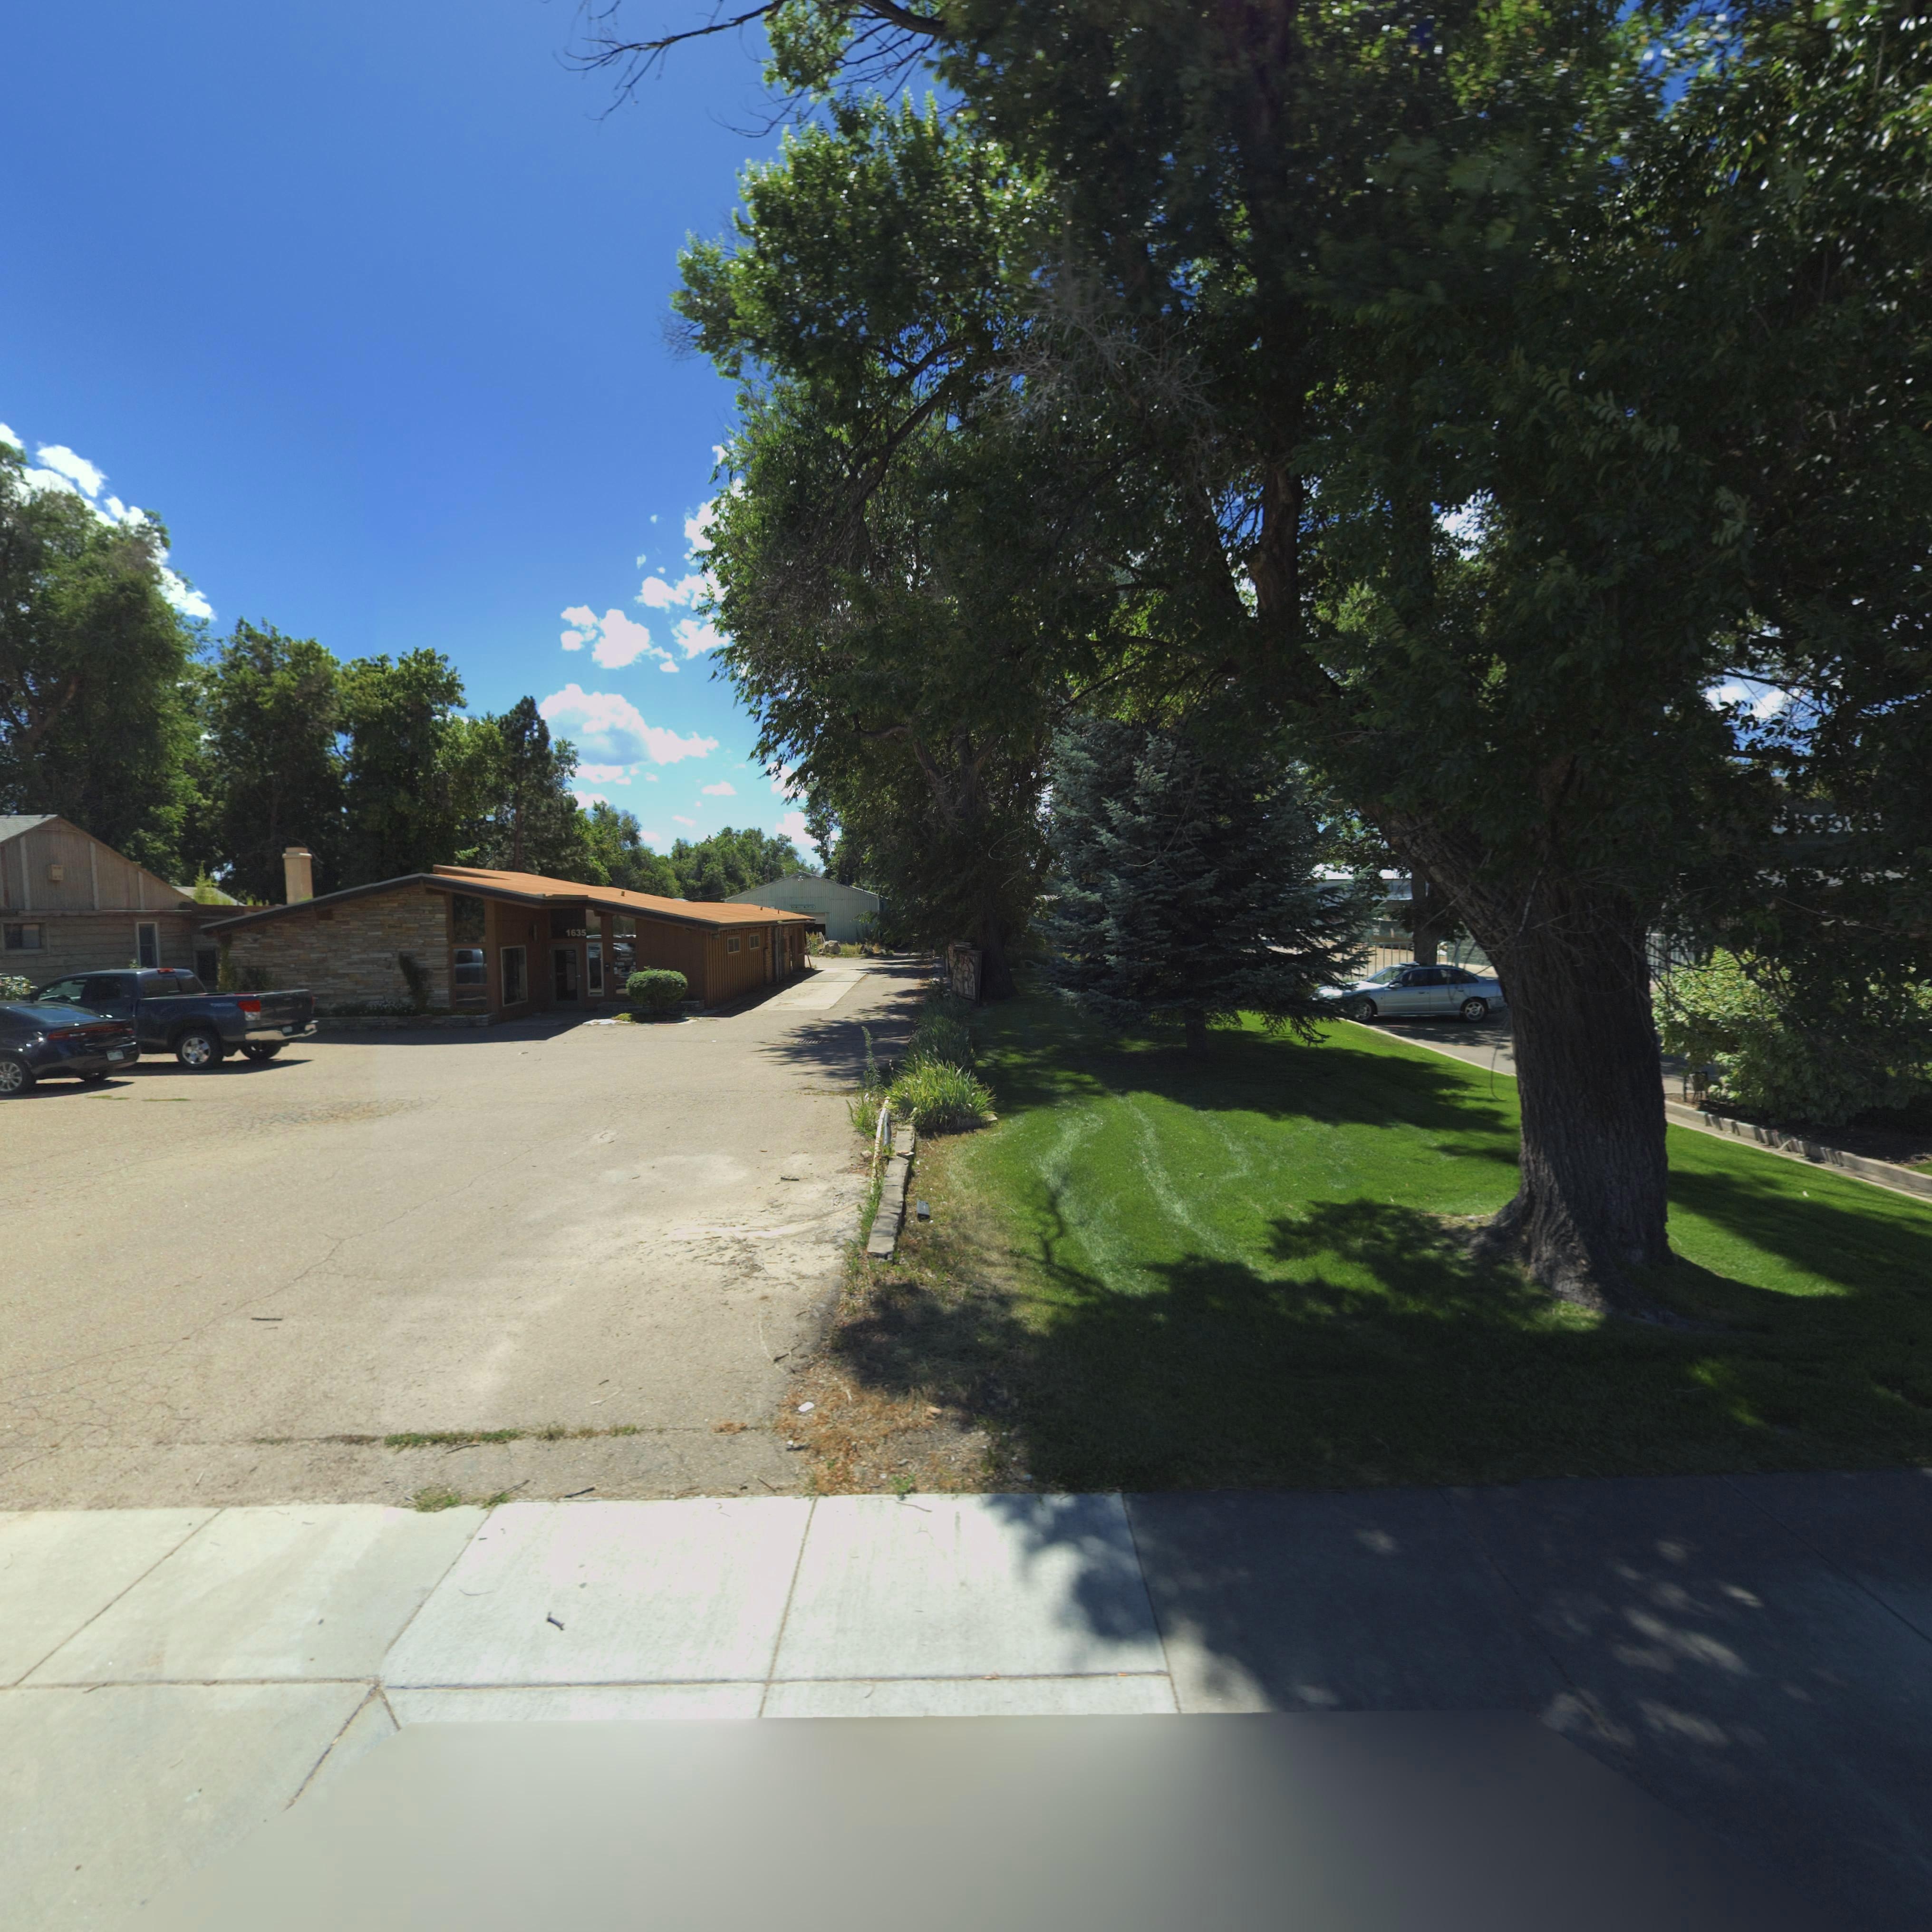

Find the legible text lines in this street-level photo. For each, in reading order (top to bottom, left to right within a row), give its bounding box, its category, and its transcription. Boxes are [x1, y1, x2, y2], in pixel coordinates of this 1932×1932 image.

[565, 928, 586, 936] StreetNumber: 1635